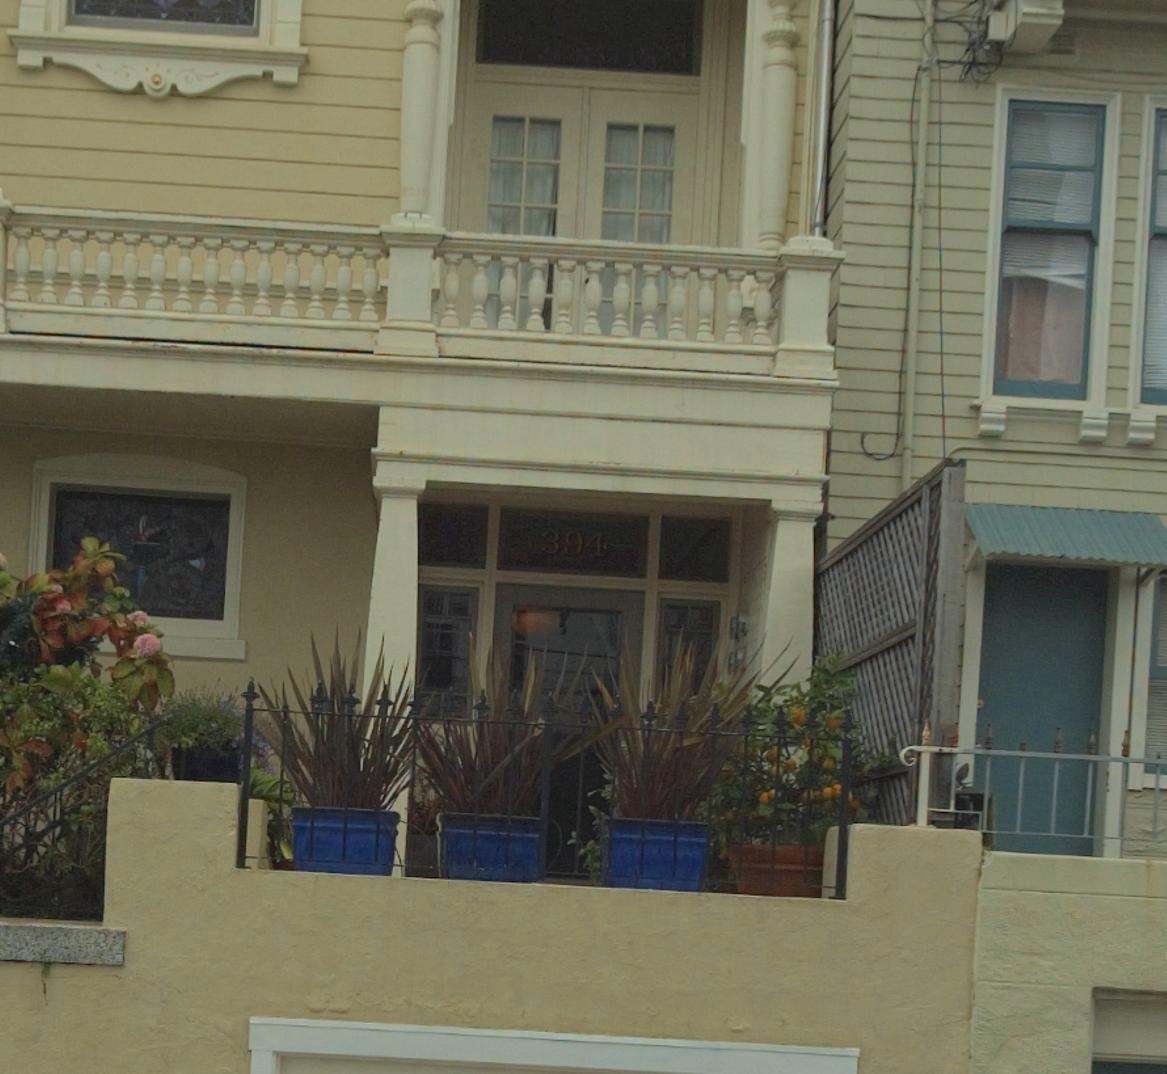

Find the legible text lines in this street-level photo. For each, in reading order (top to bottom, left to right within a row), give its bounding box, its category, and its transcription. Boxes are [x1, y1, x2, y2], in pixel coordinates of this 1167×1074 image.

[539, 528, 606, 558] StreetNumber: 394